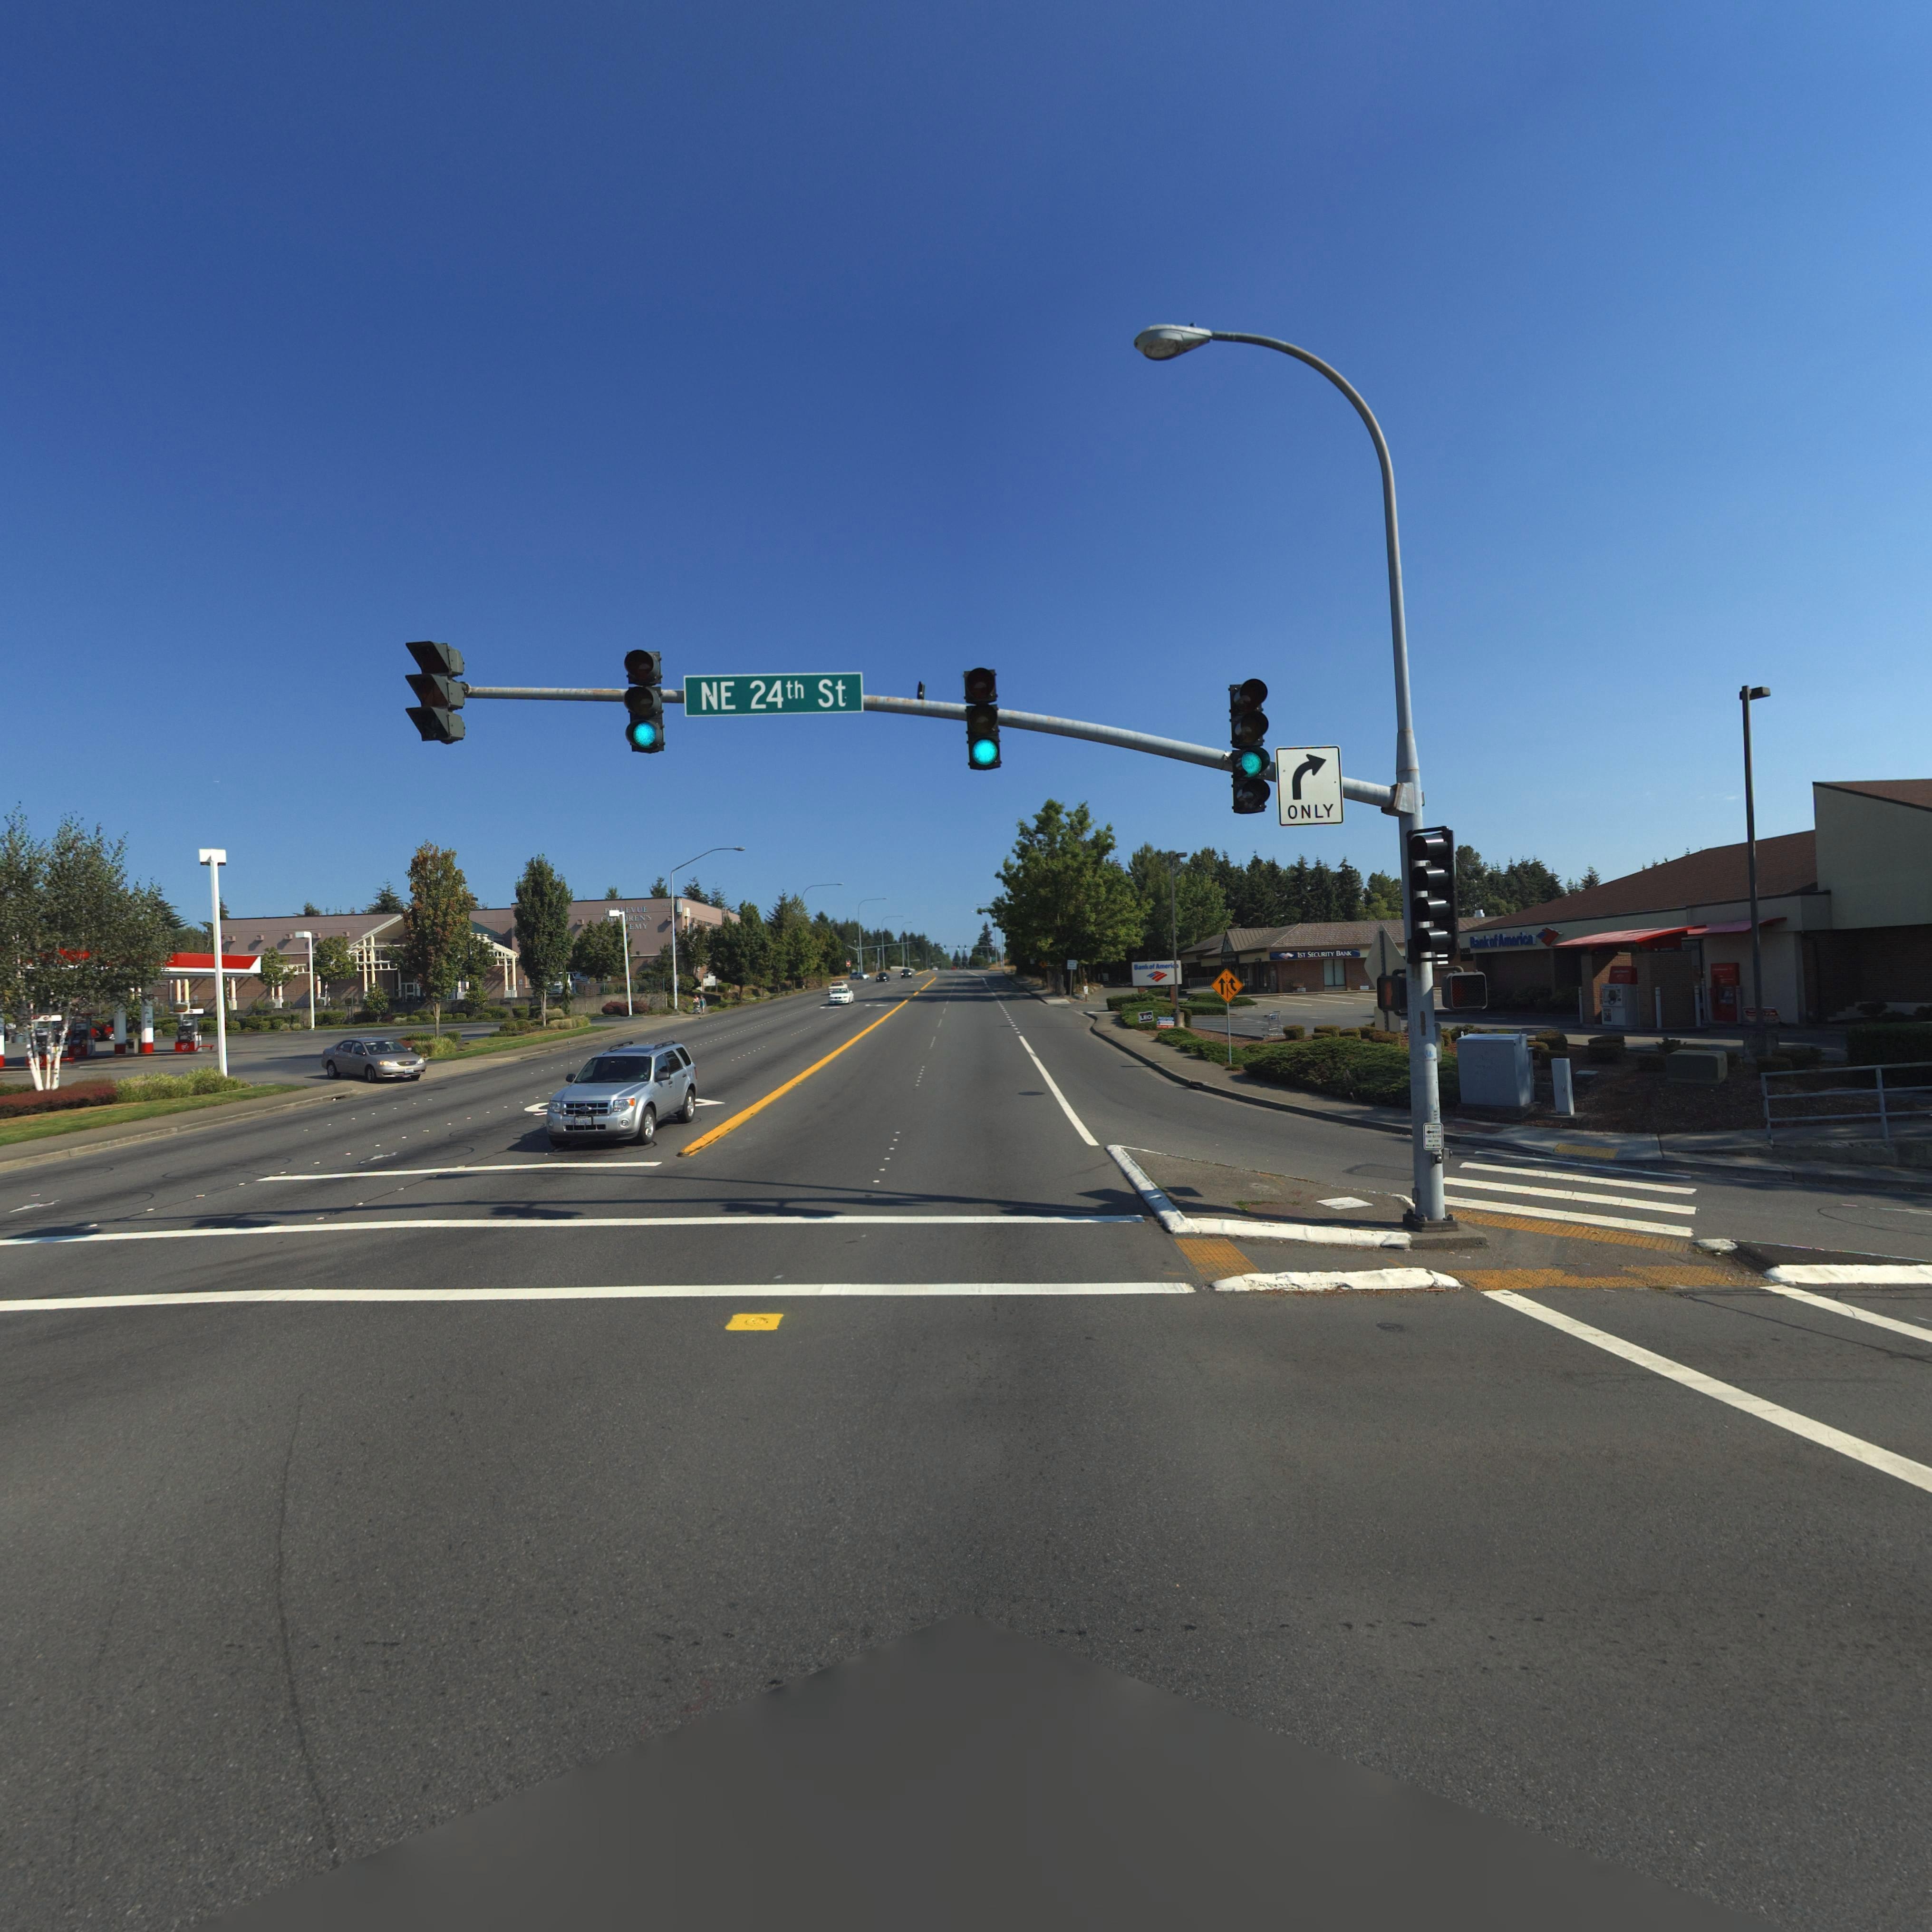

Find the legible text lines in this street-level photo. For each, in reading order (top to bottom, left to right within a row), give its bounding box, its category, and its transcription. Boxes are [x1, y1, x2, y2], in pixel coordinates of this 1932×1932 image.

[700, 678, 847, 710] StreetName: NE 24th St
[605, 906, 648, 914] BusinessName: B***EVUE
[600, 914, 652, 923] BusinessName: *H***REN'S
[629, 922, 647, 929] BusinessName: EMY
[1469, 931, 1536, 948] BusinessName: Bank of America
[1297, 950, 1352, 958] BusinessName: 1ST SECURITY BANK
[1460, 947, 1470, 954] StreetNumber: *400
[1134, 963, 1179, 970] BusinessName: Bank of Ameri**